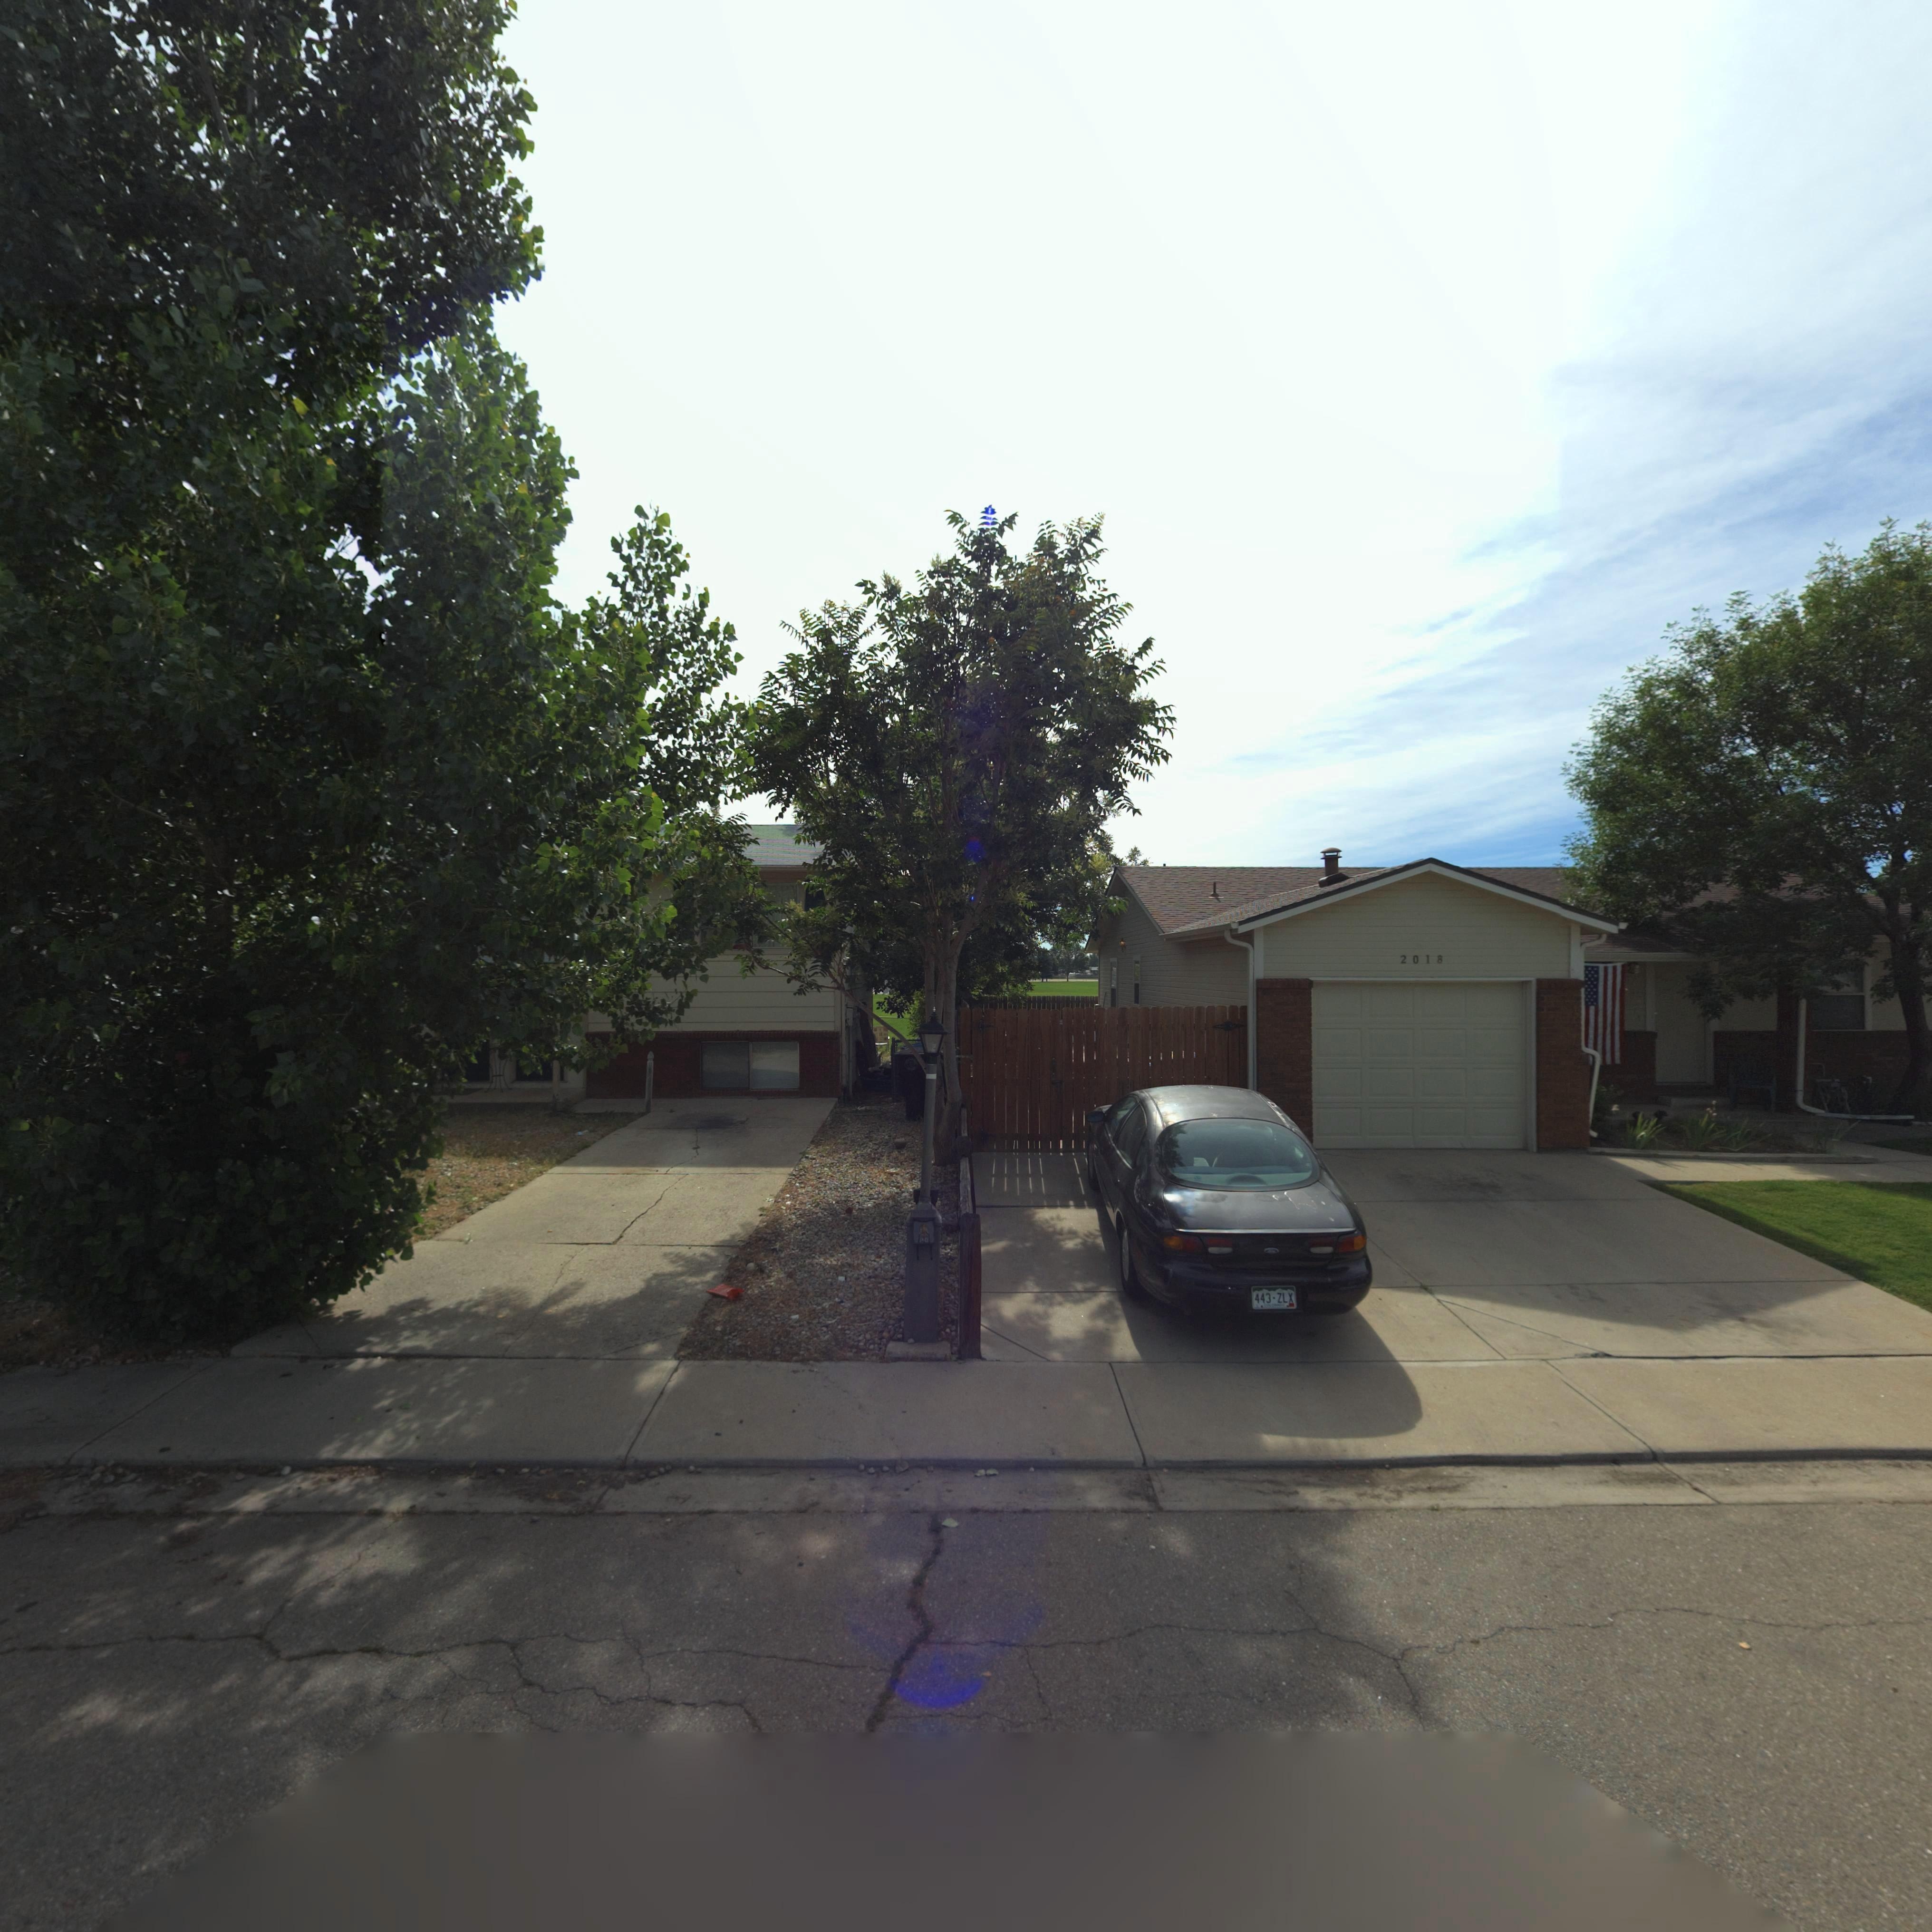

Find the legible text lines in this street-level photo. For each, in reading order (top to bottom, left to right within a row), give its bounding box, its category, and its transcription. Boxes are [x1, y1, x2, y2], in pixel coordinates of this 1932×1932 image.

[1400, 954, 1442, 964] StreetNumber: 2018